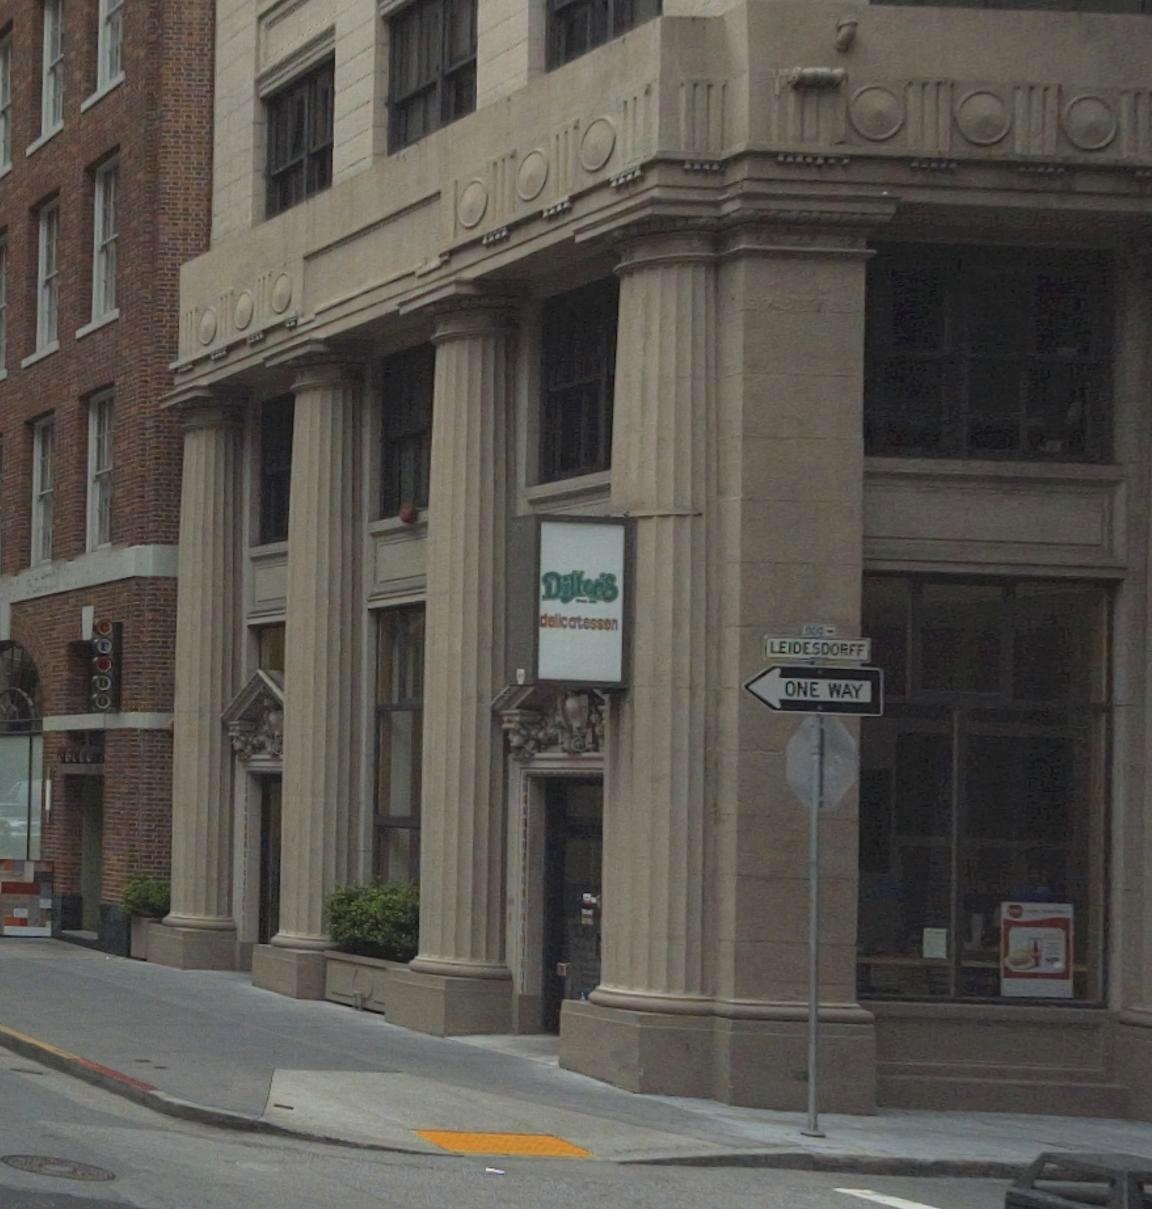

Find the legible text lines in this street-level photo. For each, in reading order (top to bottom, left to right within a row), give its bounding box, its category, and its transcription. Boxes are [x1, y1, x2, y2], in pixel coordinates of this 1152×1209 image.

[538, 567, 621, 607] BusinessName: Diller'S
[537, 610, 621, 634] BusinessName: delicatesson
[802, 622, 836, 639] StreetNumberRange: 900->
[766, 636, 869, 660] StreetName: LEIDESDORFF
[96, 620, 112, 710] BusinessName: cr*Do
[783, 678, 866, 702] None: ONE WAY